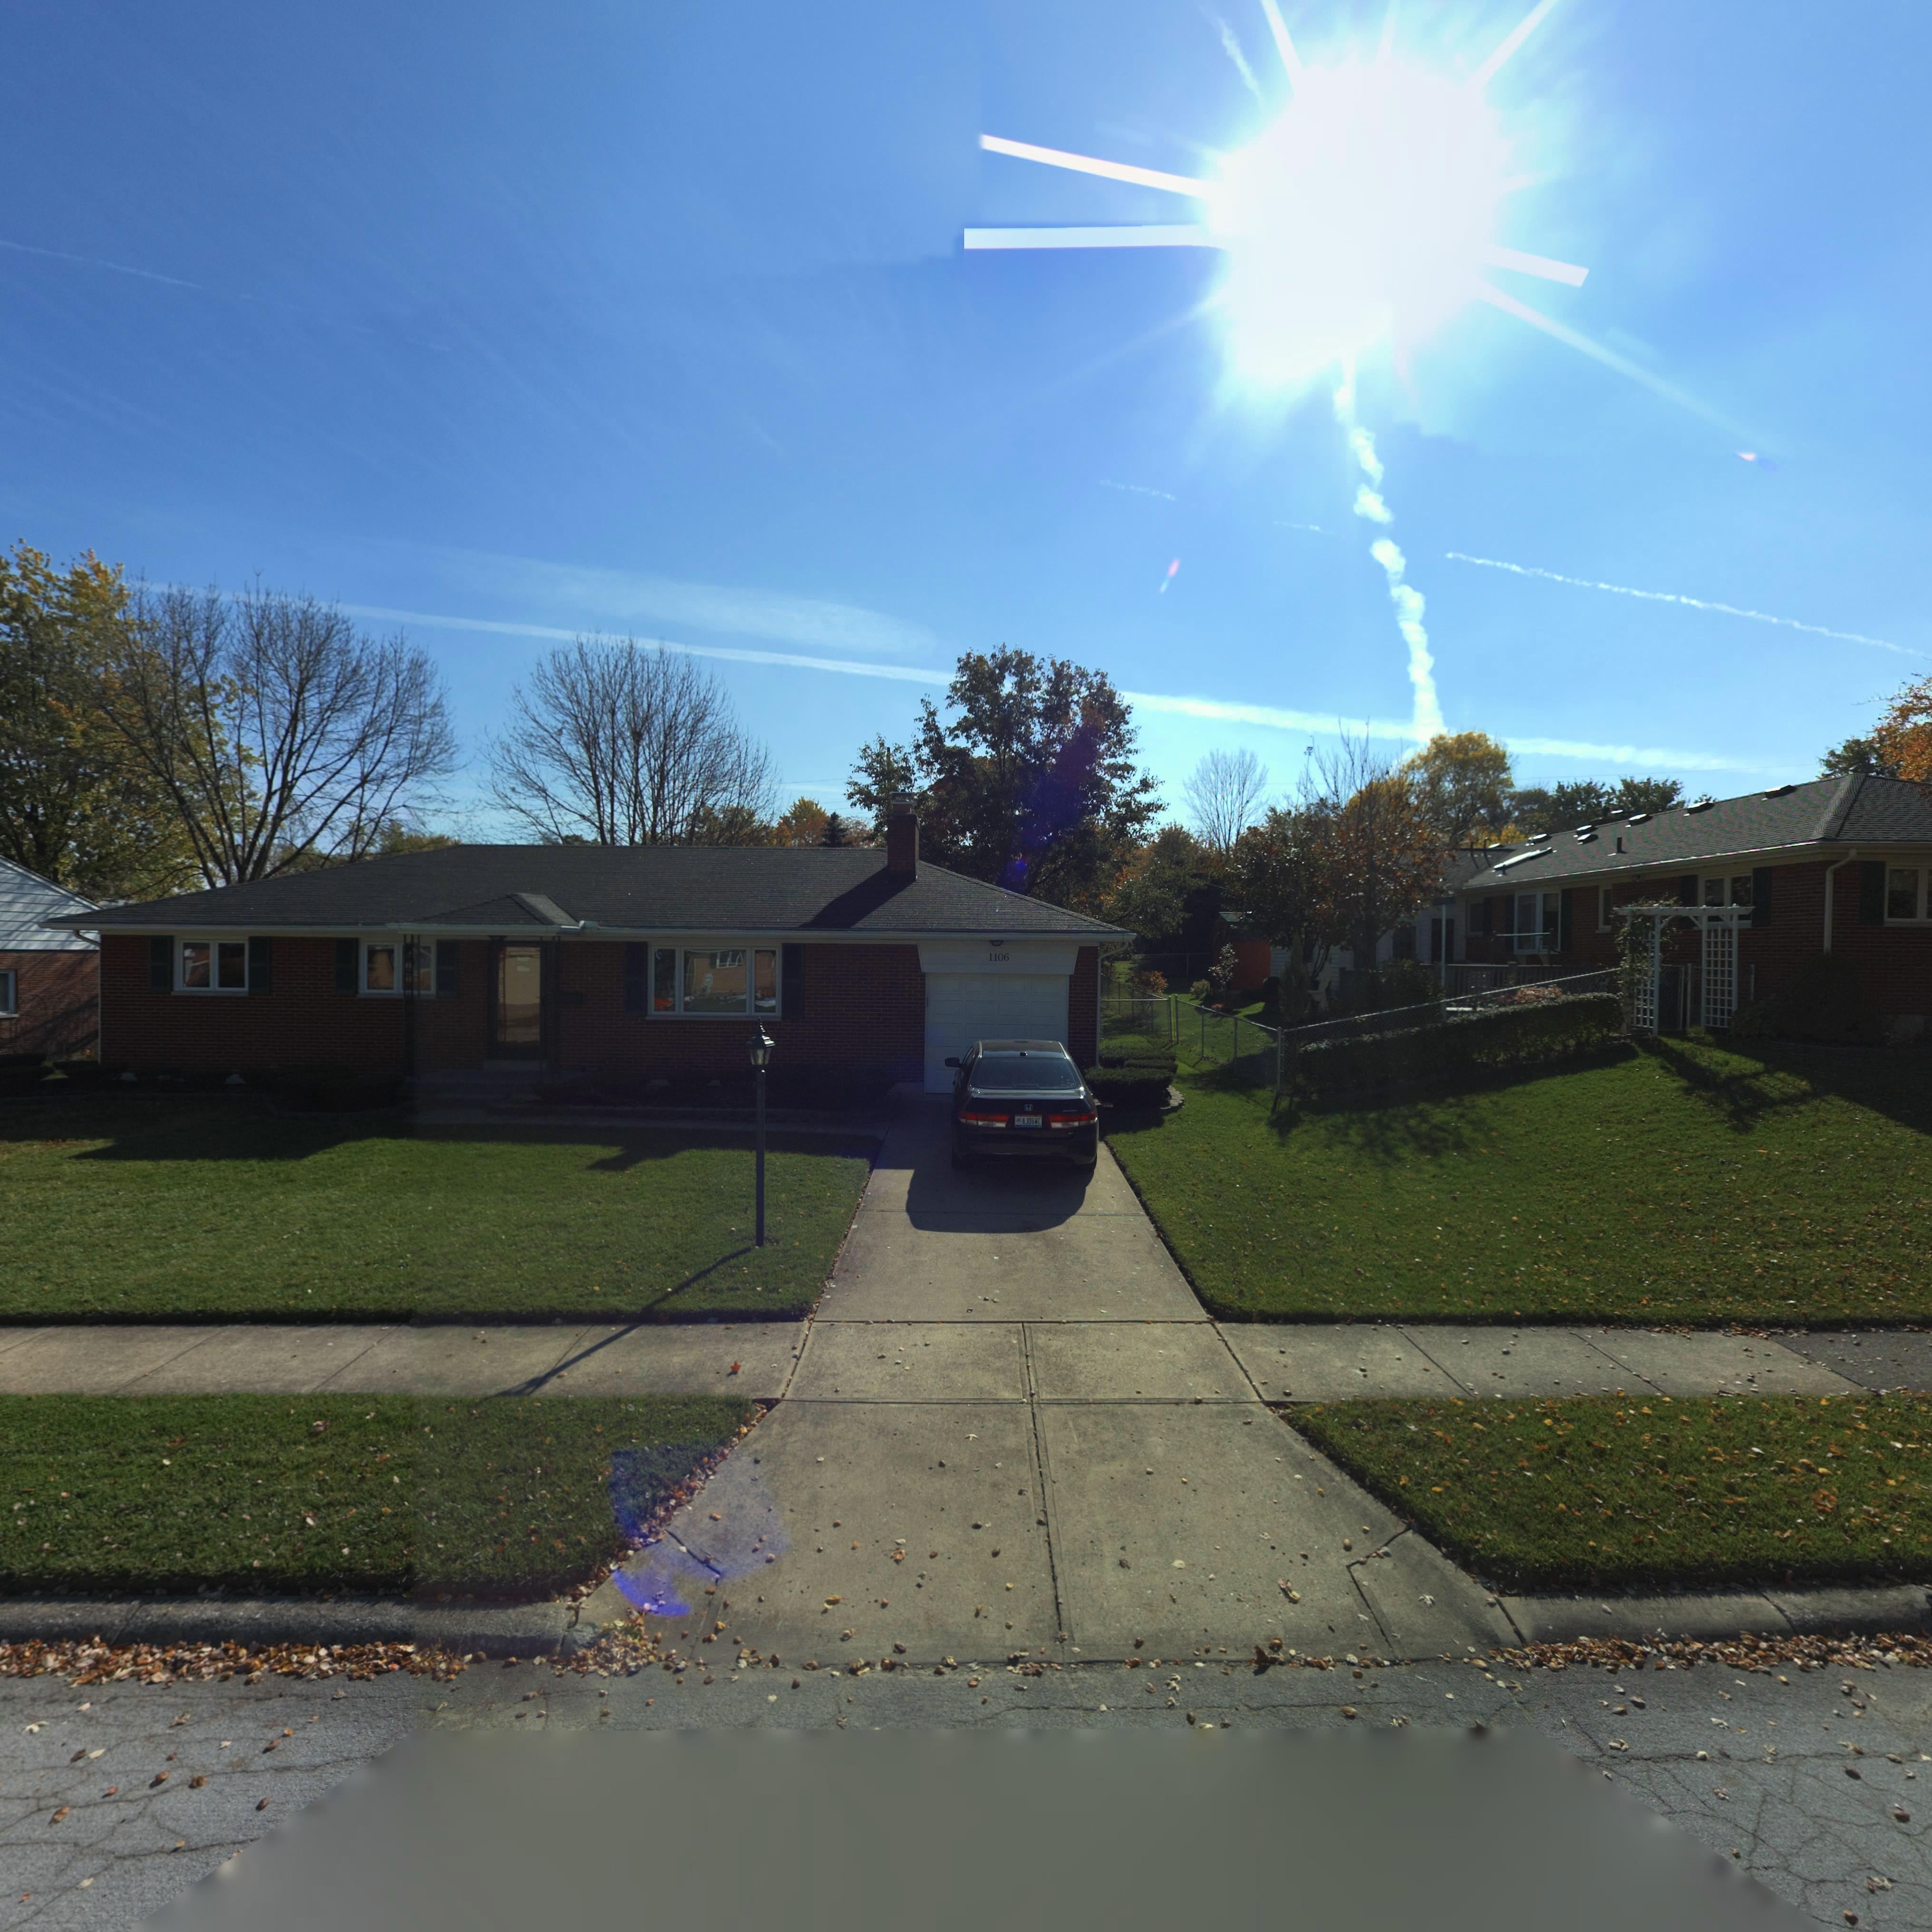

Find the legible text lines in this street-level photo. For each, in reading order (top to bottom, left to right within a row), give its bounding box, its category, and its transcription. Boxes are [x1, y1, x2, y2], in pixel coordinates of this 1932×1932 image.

[988, 953, 1010, 962] StreetNumber: 1106
[1062, 1109, 1077, 1112] None: ACCORD
[1021, 1117, 1041, 1124] None: AJ062WC